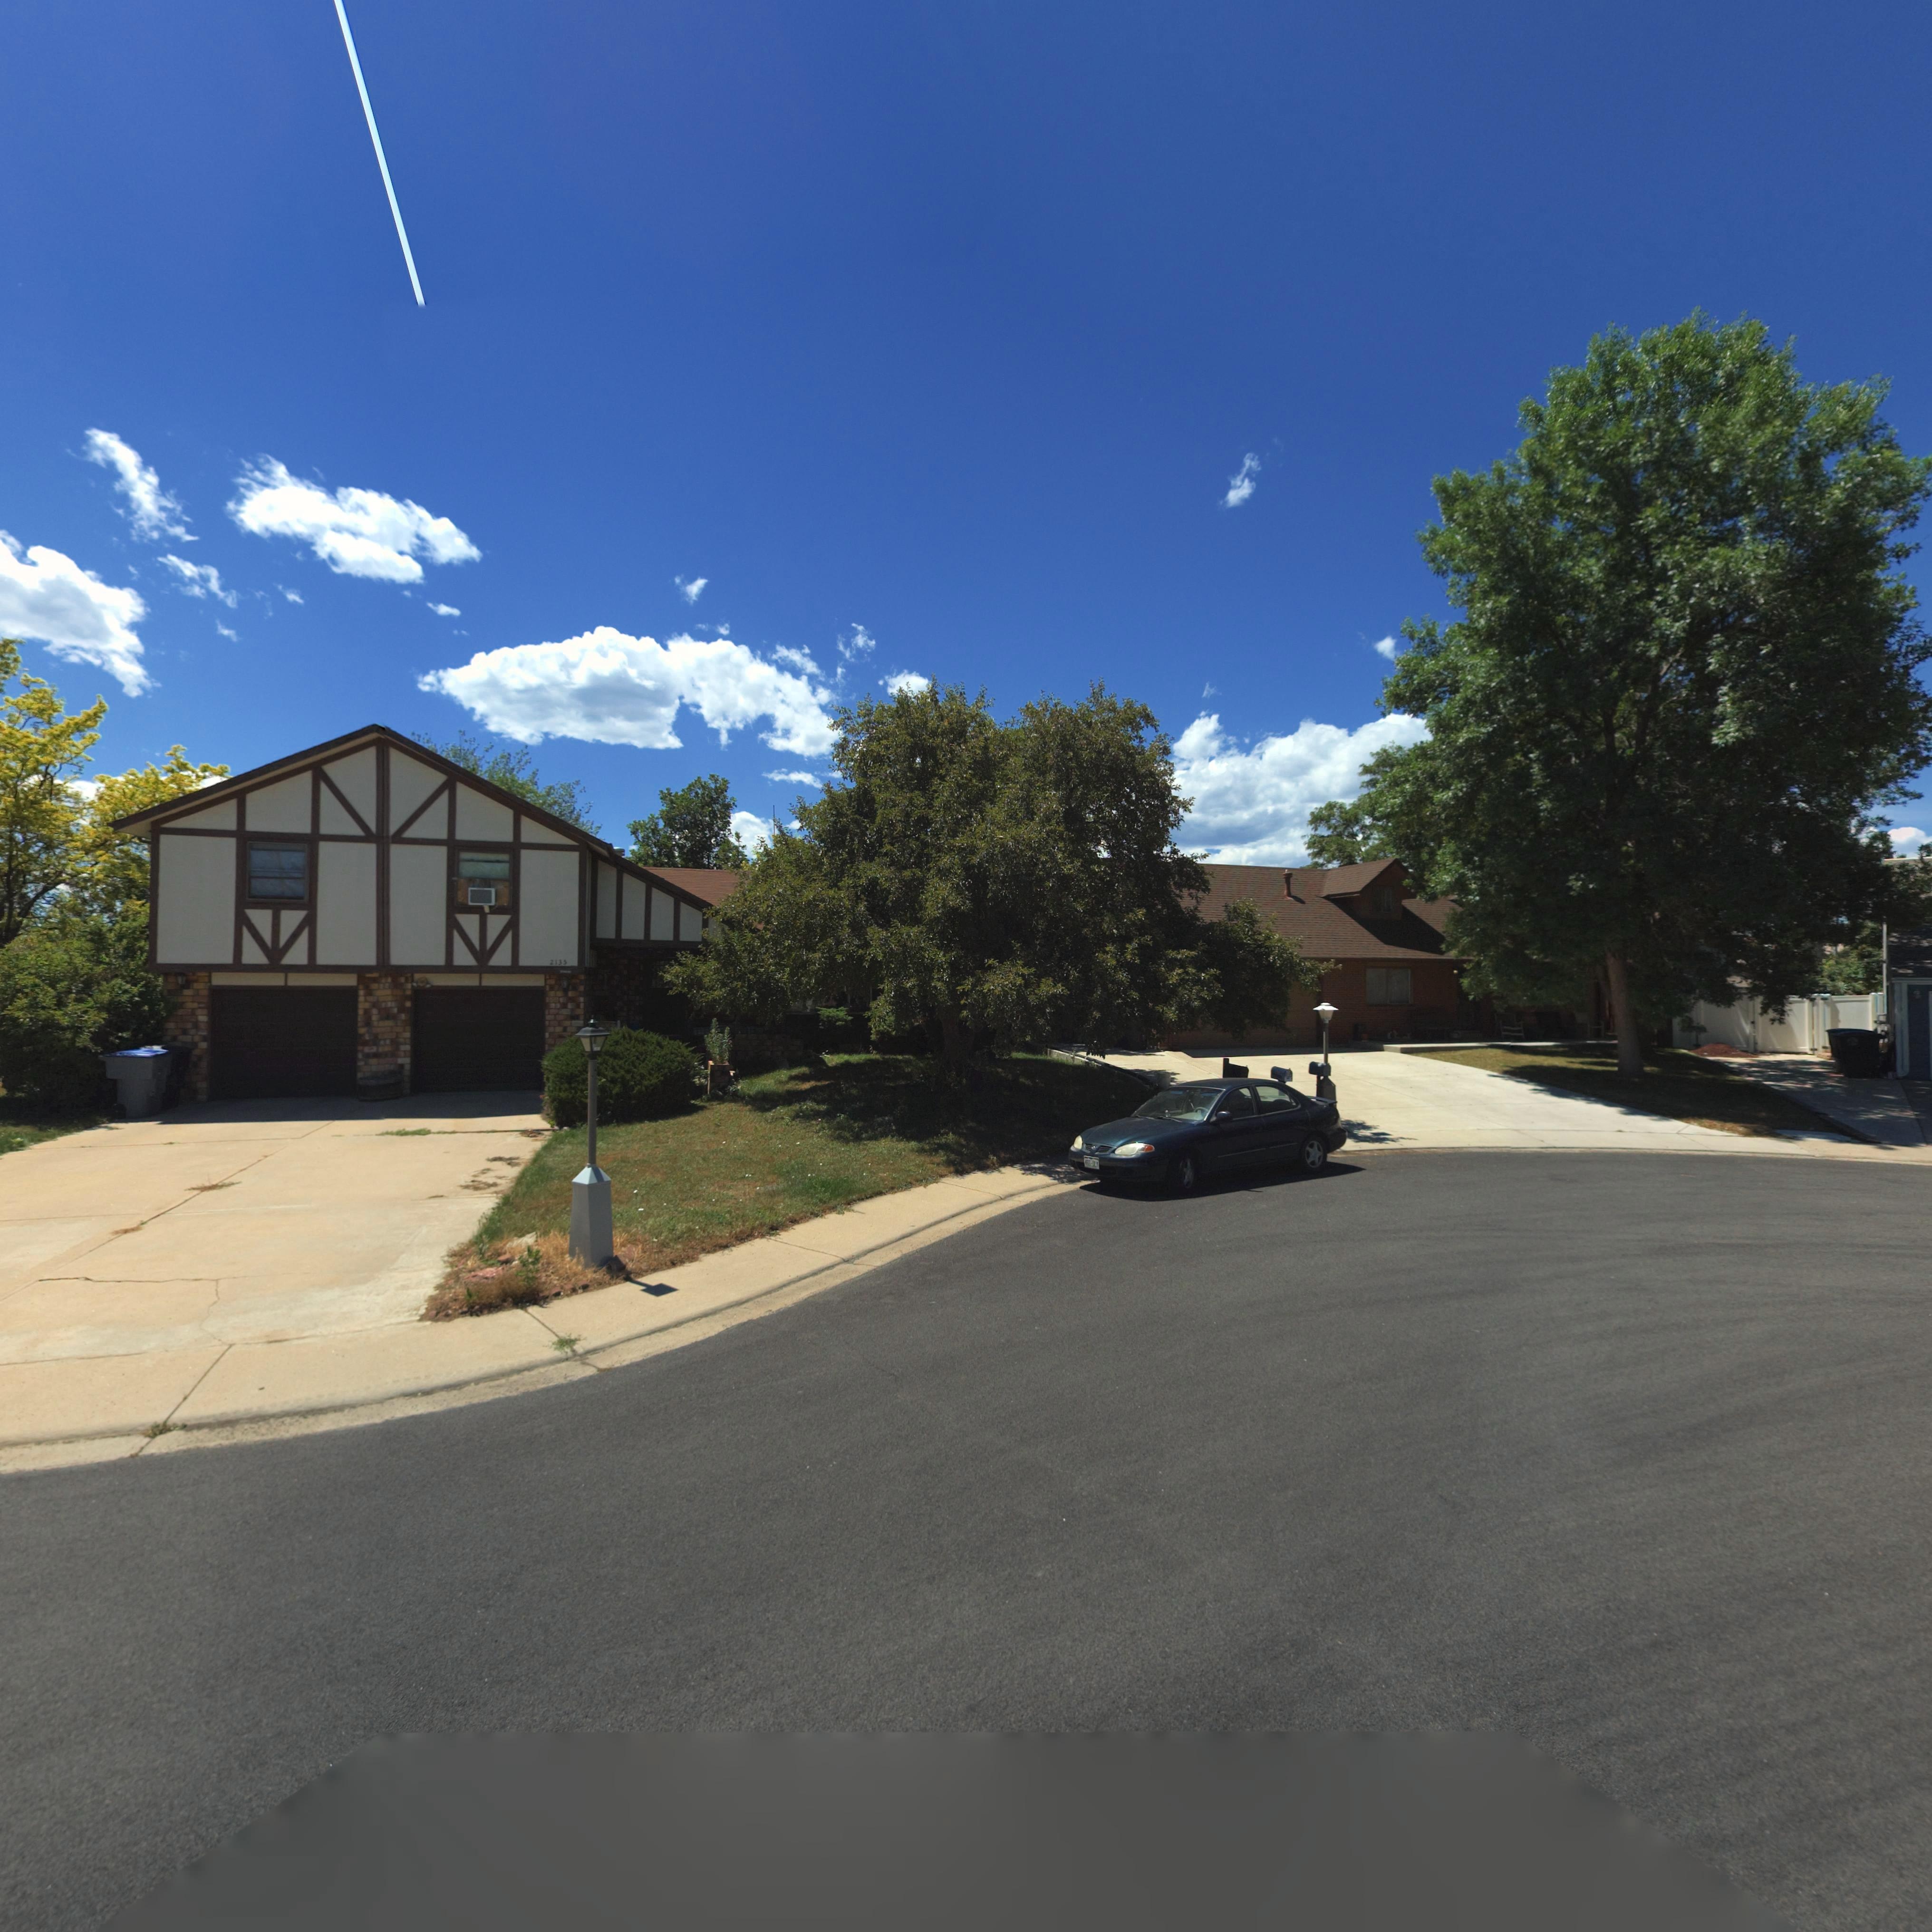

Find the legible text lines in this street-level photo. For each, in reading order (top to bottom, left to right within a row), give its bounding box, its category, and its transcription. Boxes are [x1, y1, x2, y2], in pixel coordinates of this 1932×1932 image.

[549, 959, 567, 965] StreetNumber: 2135